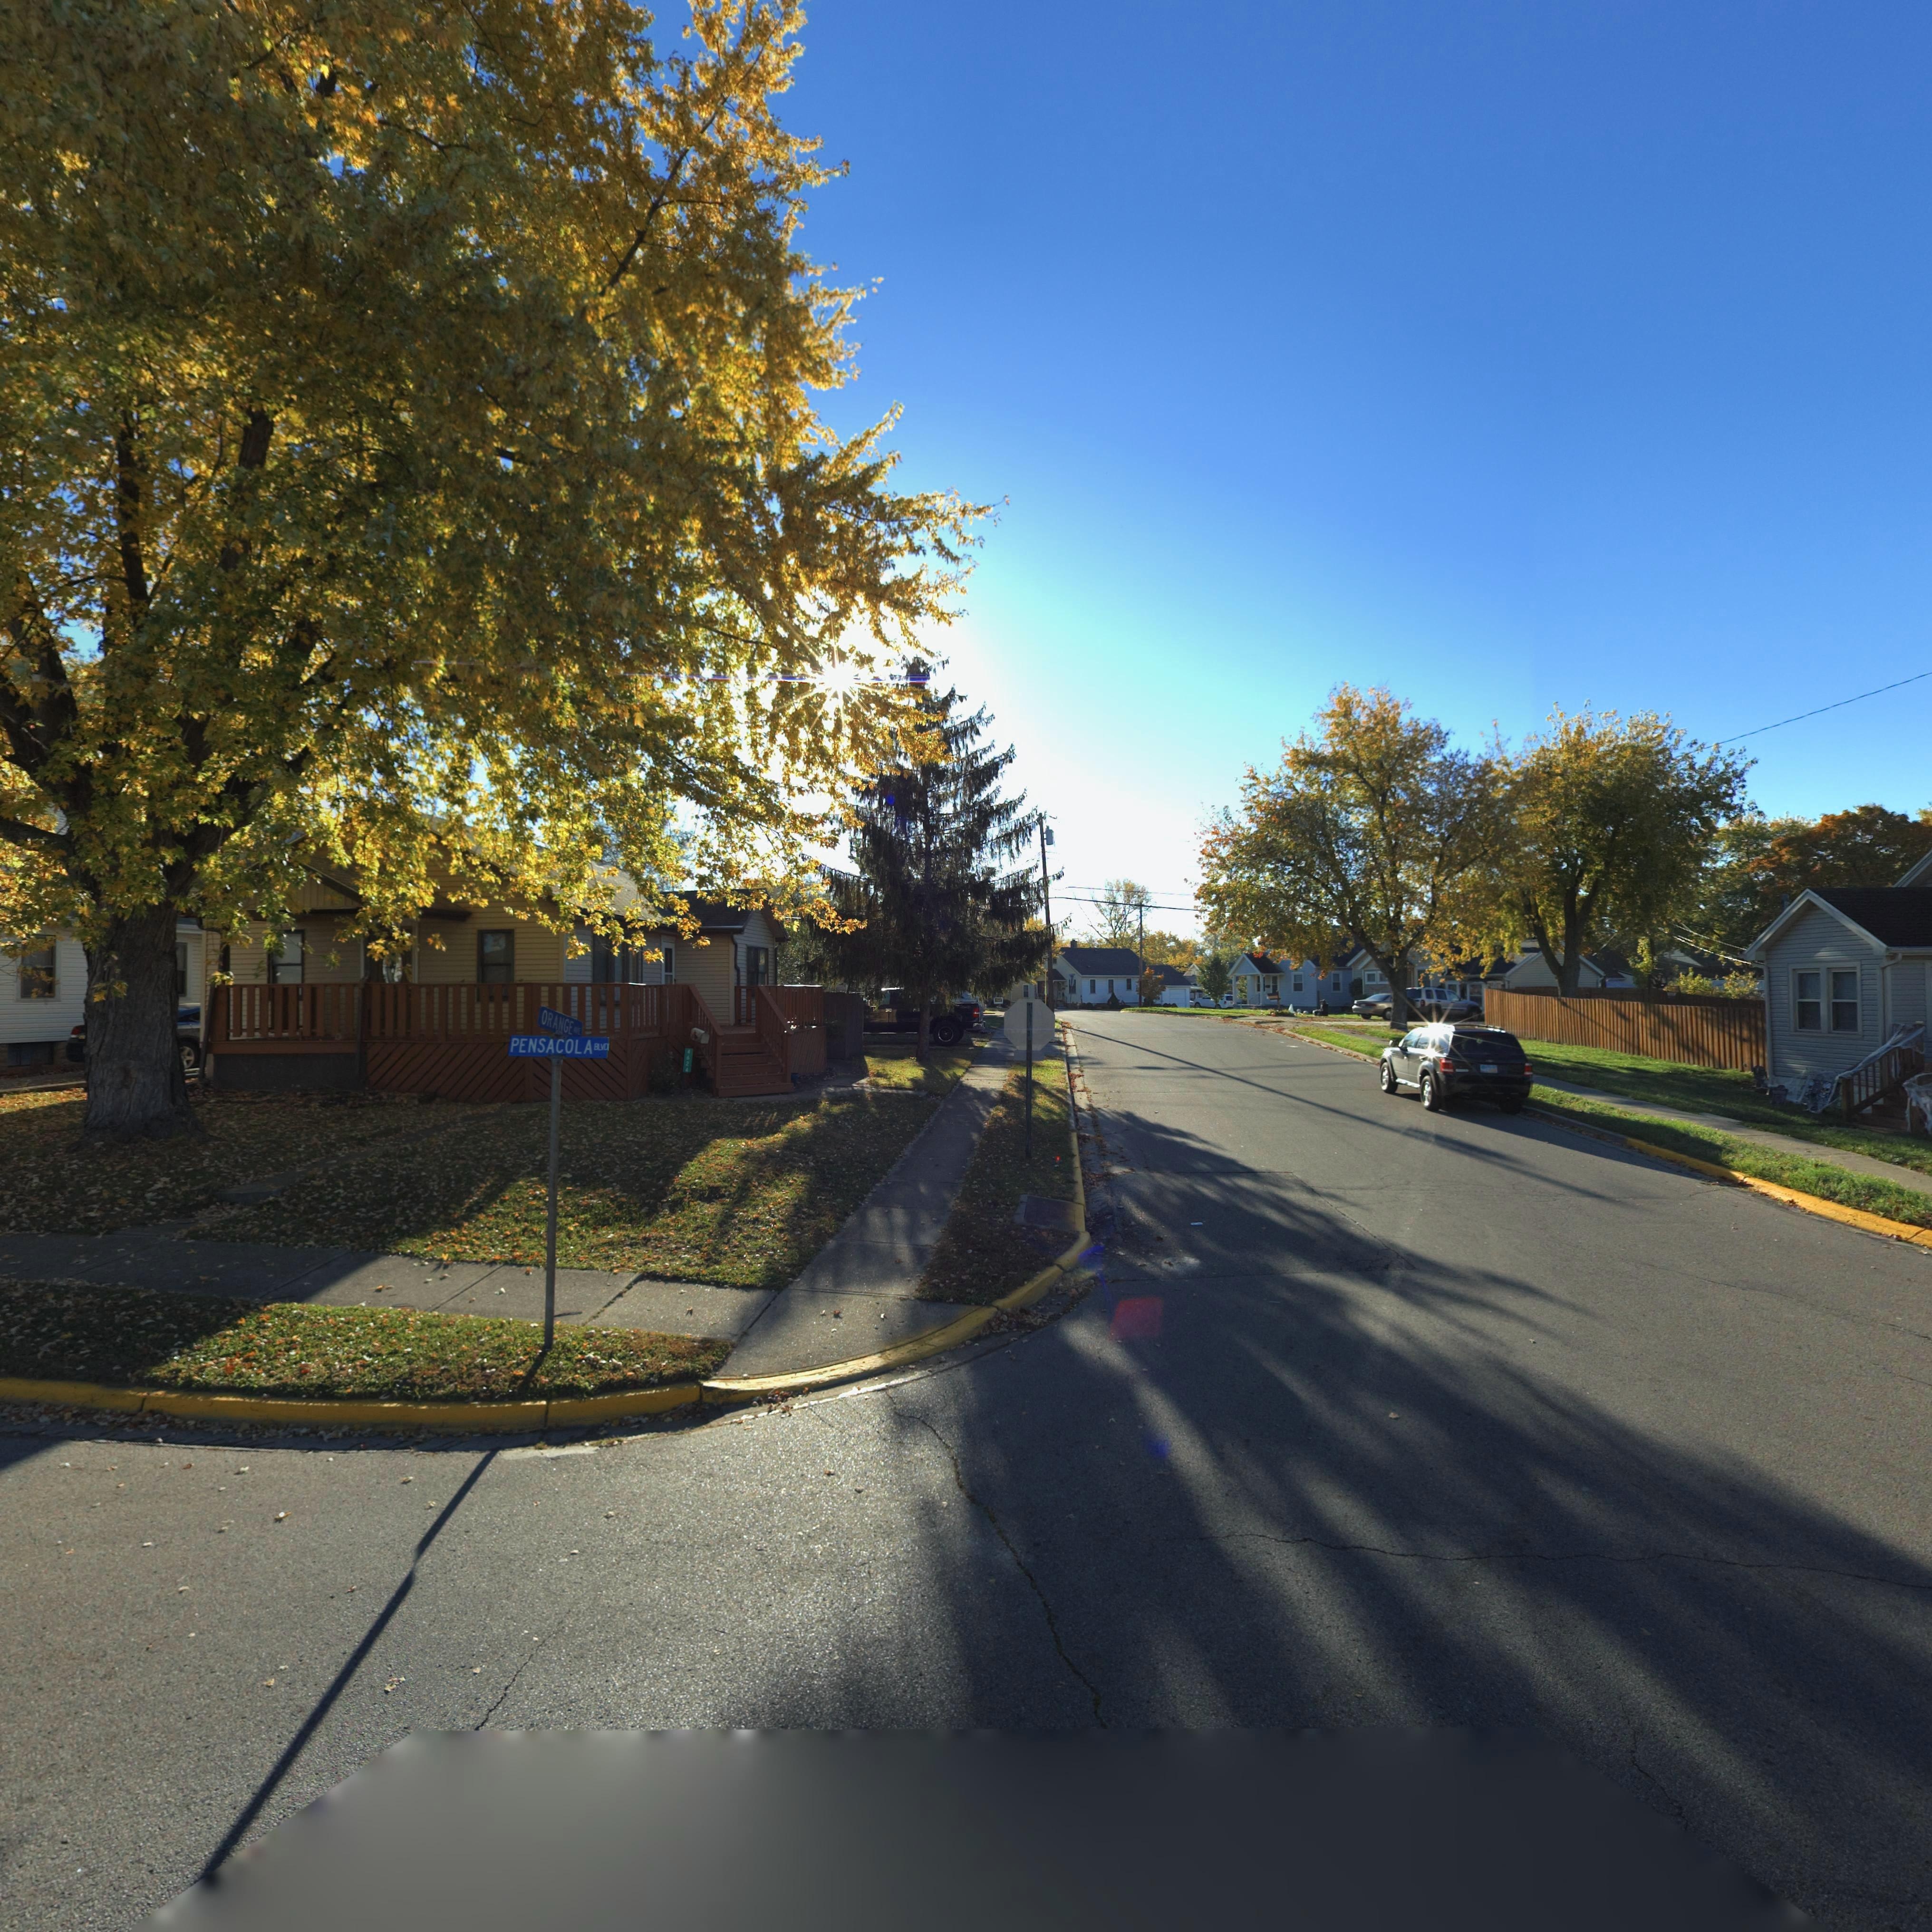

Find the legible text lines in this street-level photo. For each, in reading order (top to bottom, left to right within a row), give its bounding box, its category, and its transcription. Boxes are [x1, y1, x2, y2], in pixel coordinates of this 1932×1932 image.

[684, 1048, 691, 1073] StreetNumber: 4624